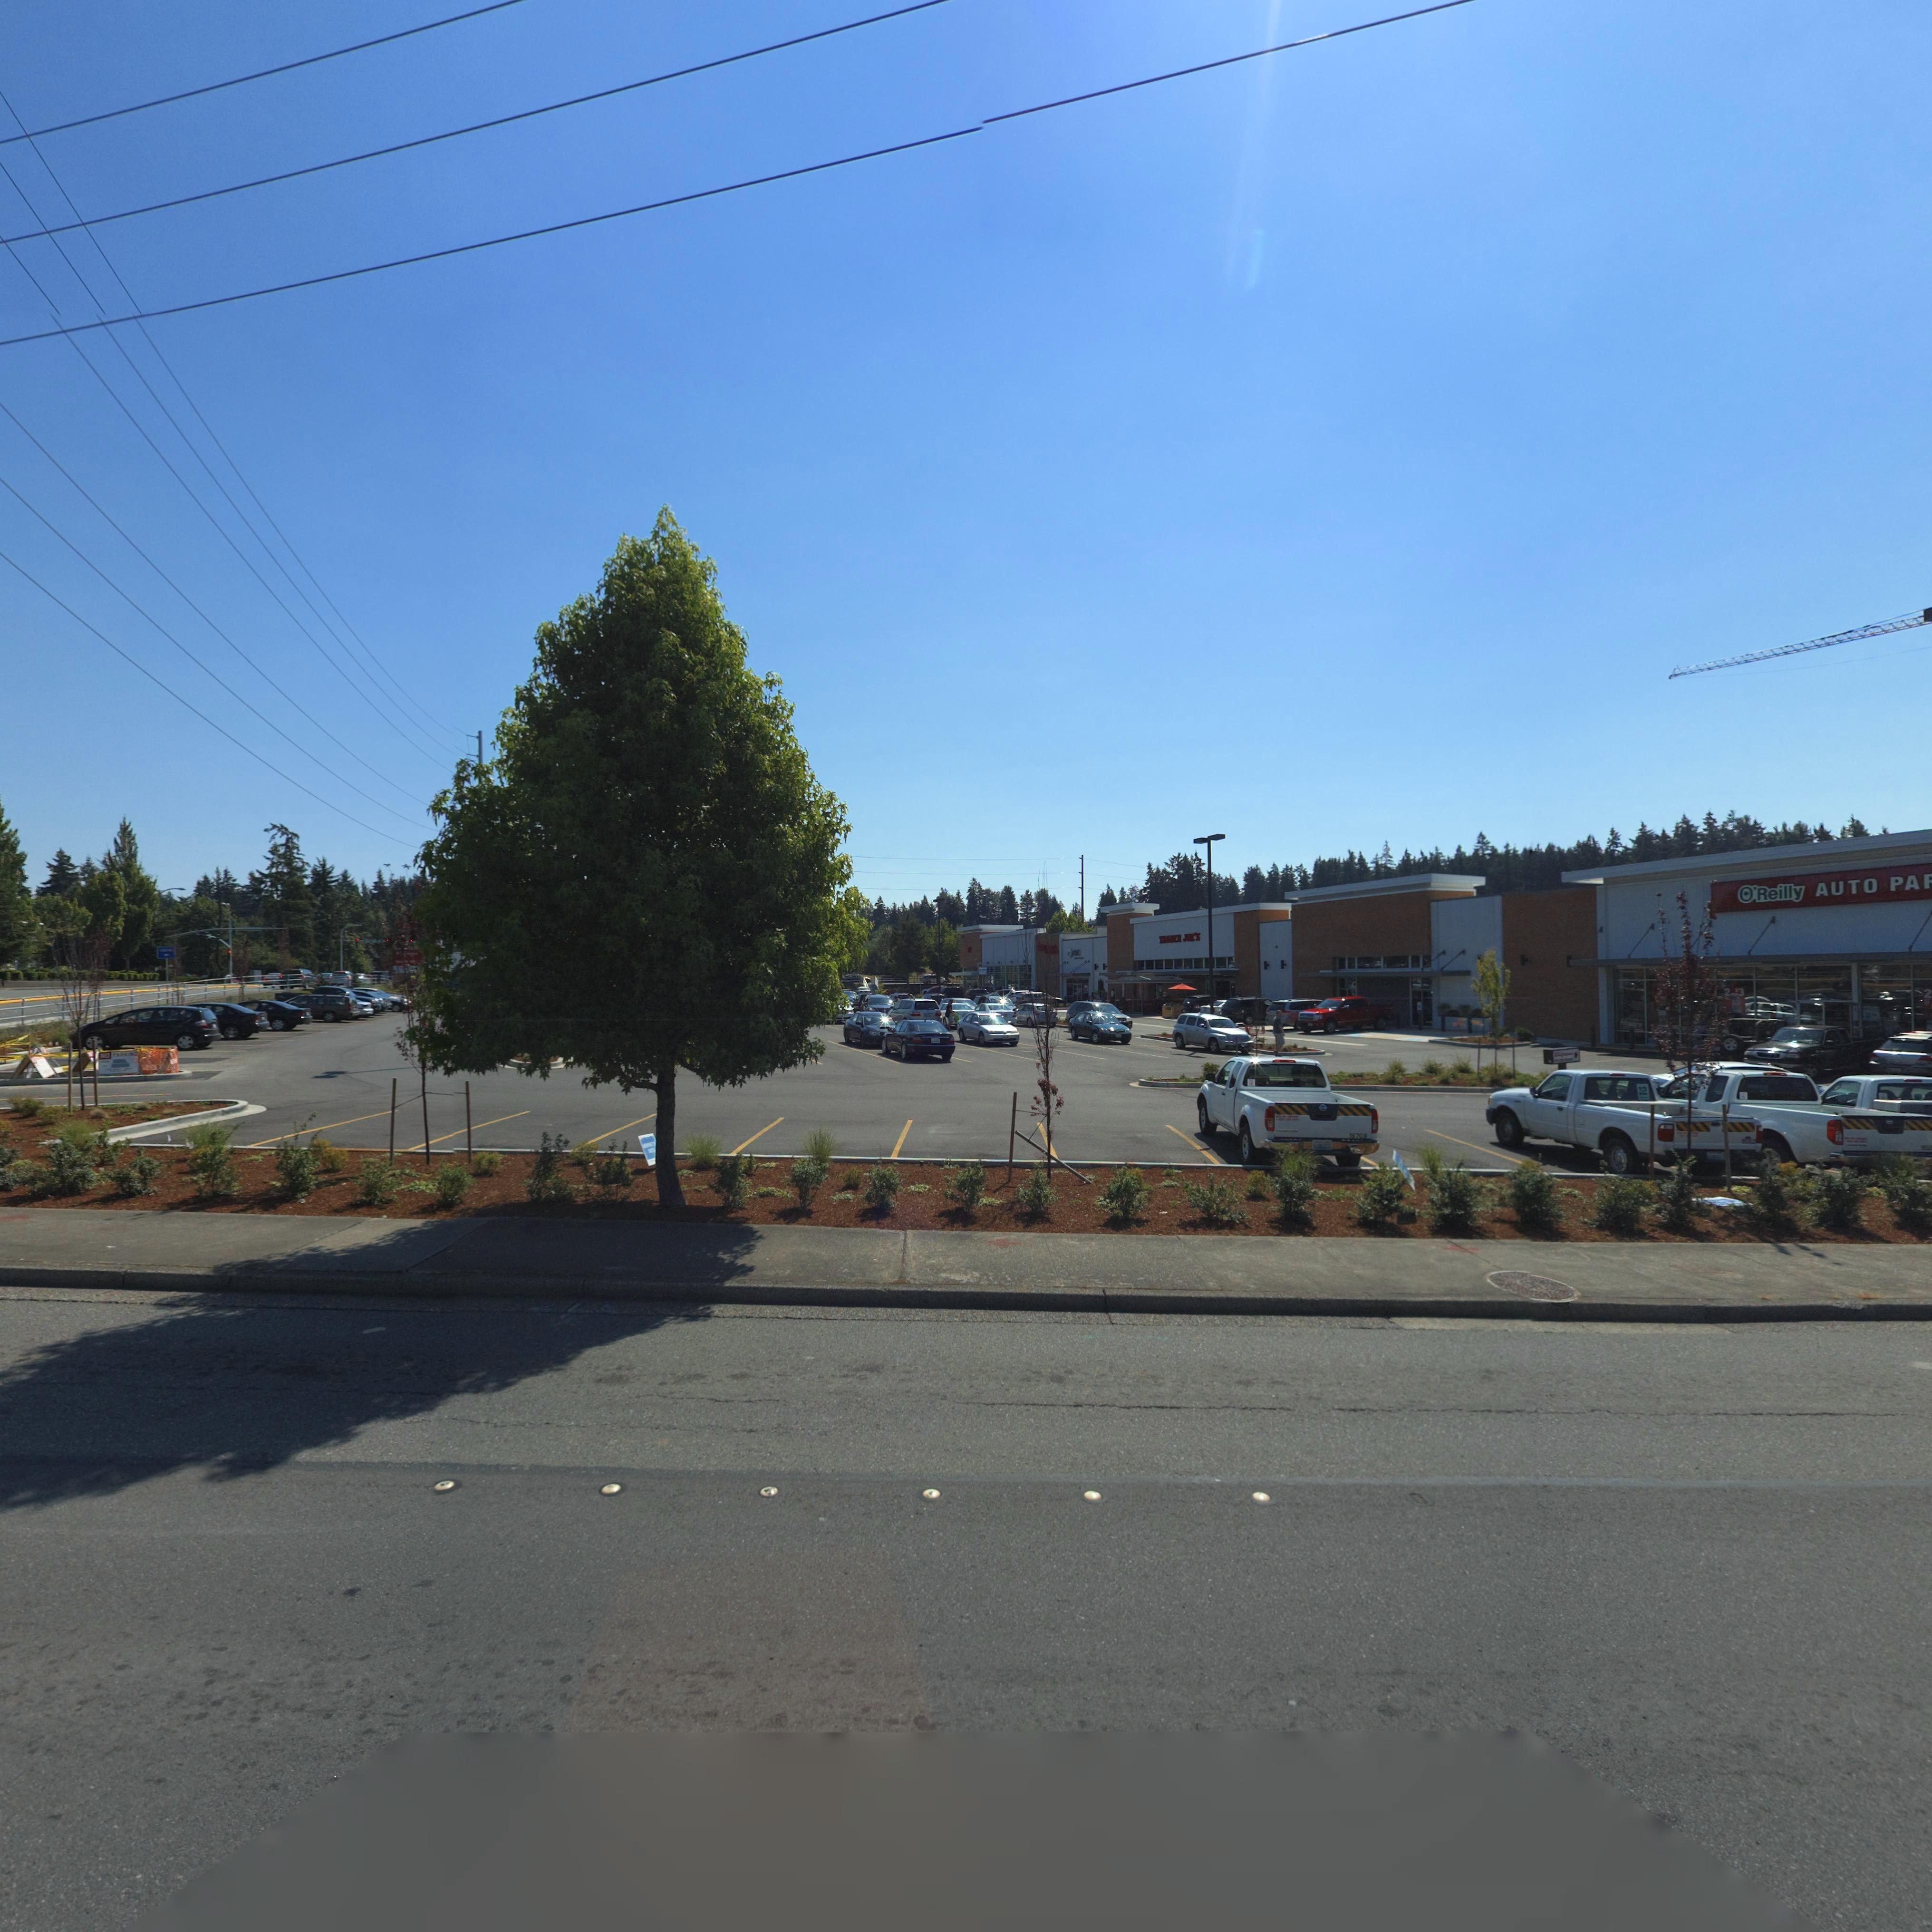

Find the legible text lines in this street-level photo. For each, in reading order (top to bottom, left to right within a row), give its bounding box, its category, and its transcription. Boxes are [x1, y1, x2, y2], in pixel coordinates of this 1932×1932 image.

[1736, 882, 1806, 903] BusinessName: O'Reilly
[1815, 874, 1932, 896] BusinessName: AUTO PA*
[1158, 932, 1202, 944] BusinessName: TRADER JOE'S